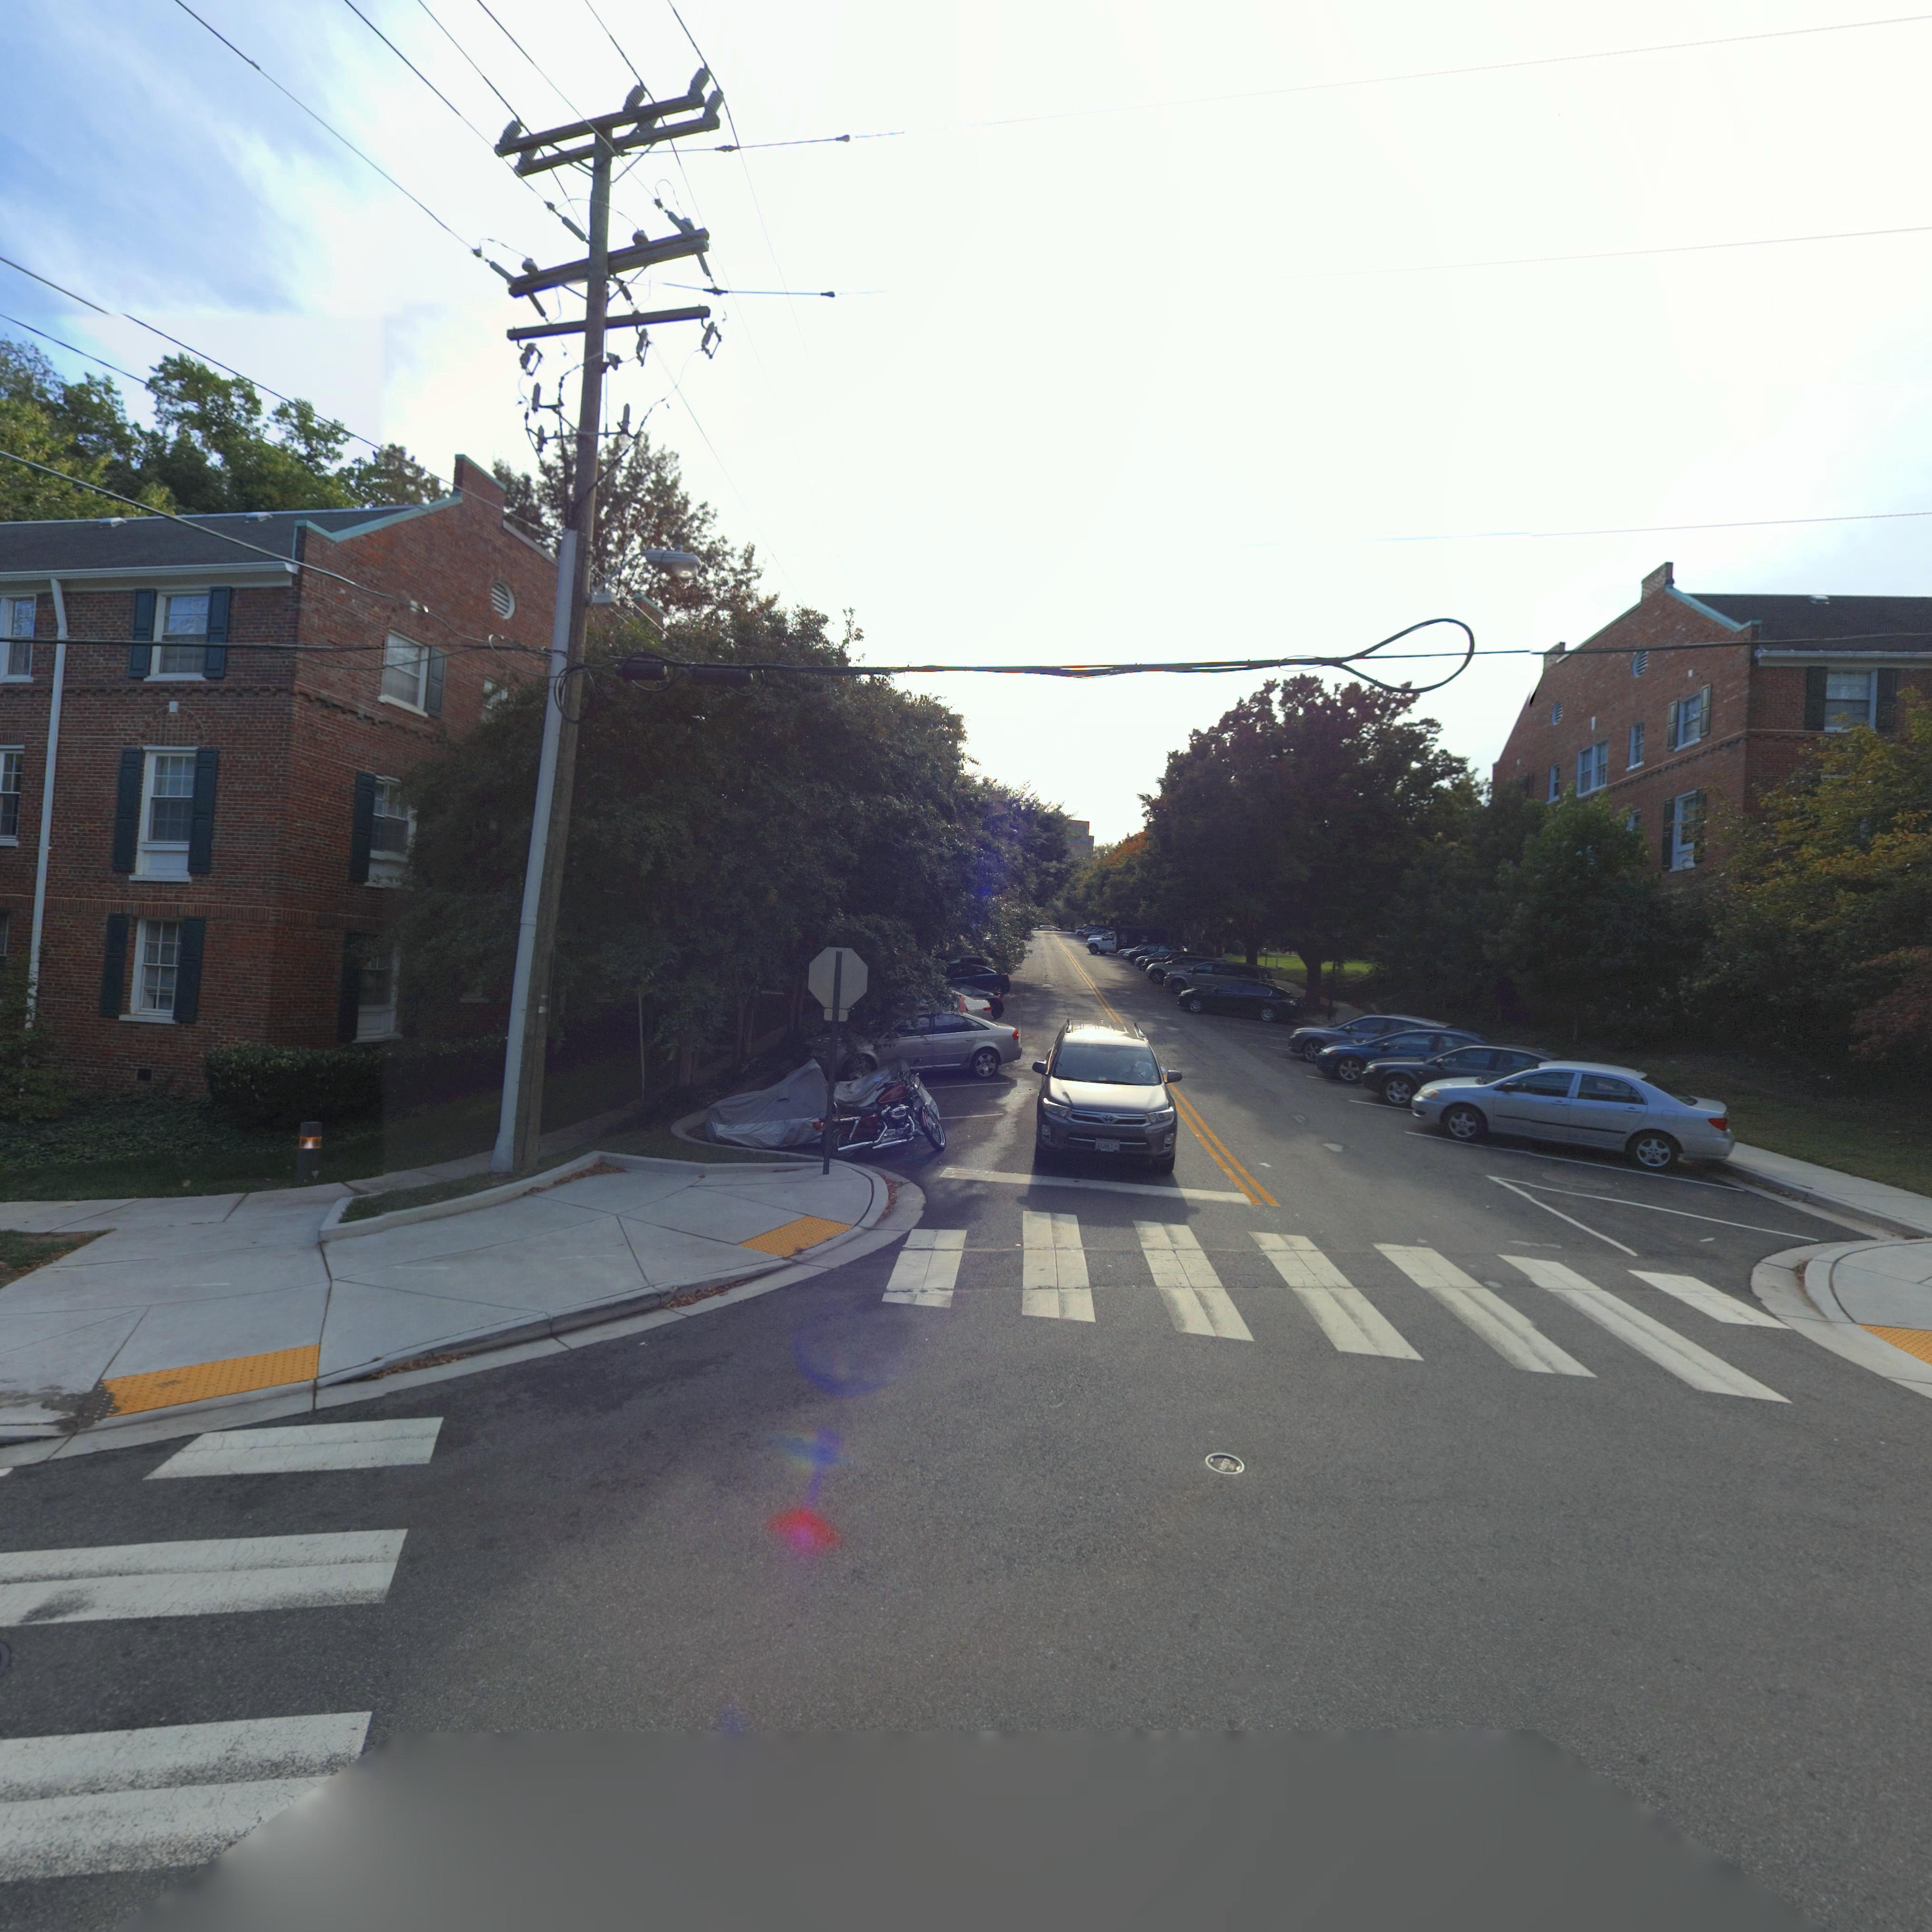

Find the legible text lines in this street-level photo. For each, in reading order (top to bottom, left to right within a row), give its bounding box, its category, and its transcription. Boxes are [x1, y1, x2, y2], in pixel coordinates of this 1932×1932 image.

[1096, 1141, 1115, 1150] None: 233*CT